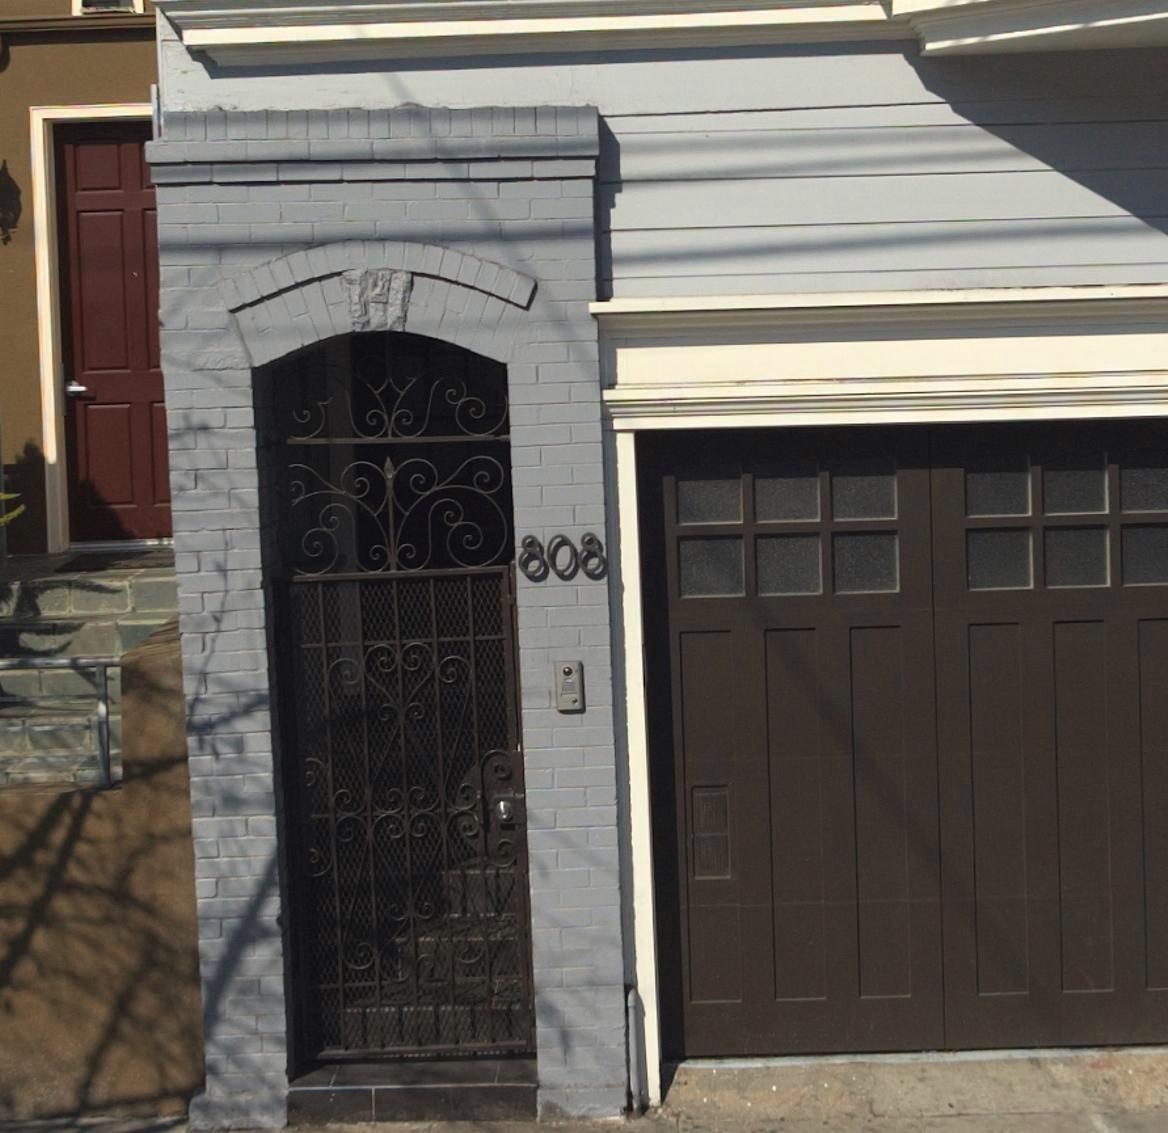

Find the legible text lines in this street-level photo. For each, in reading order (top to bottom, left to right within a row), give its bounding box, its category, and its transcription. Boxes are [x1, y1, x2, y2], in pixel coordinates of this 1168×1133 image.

[517, 532, 607, 576] StreetNumber: 808